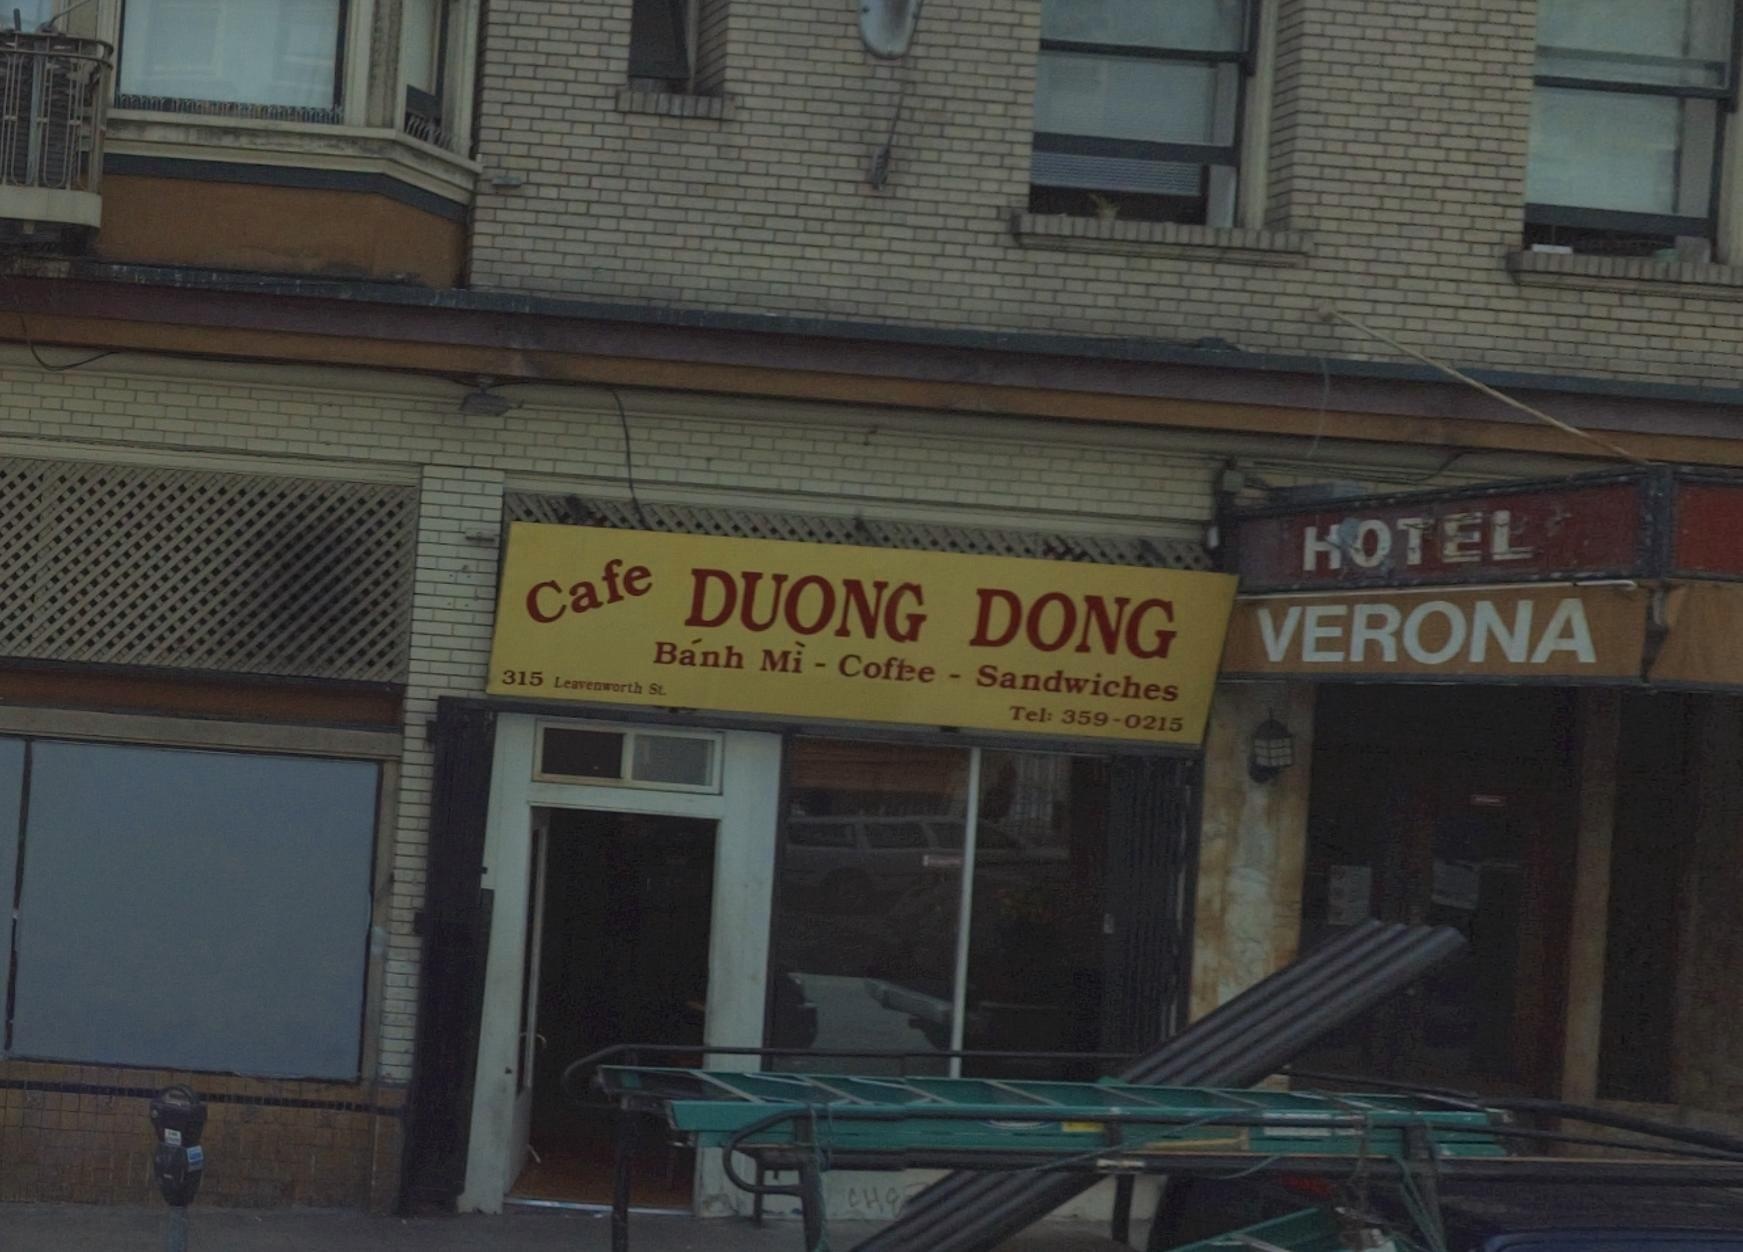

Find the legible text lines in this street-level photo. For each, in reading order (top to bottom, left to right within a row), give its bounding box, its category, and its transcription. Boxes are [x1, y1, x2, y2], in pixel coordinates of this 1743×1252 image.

[1300, 506, 1537, 573] BusinessName: H*TEL
[520, 552, 1182, 665] BusinessName: Cafe DUON* DONG
[1251, 593, 1603, 666] BusinessName: VERONA
[499, 667, 547, 689] StreetNumber: 315
[550, 673, 671, 698] StreetName: Leavenworth St.
[649, 637, 1182, 705] None: Banh Mi - Cof**e - Sandwiches
[1007, 703, 1186, 735] None: Tel: 359-0215
[844, 1182, 889, 1214] None: CH